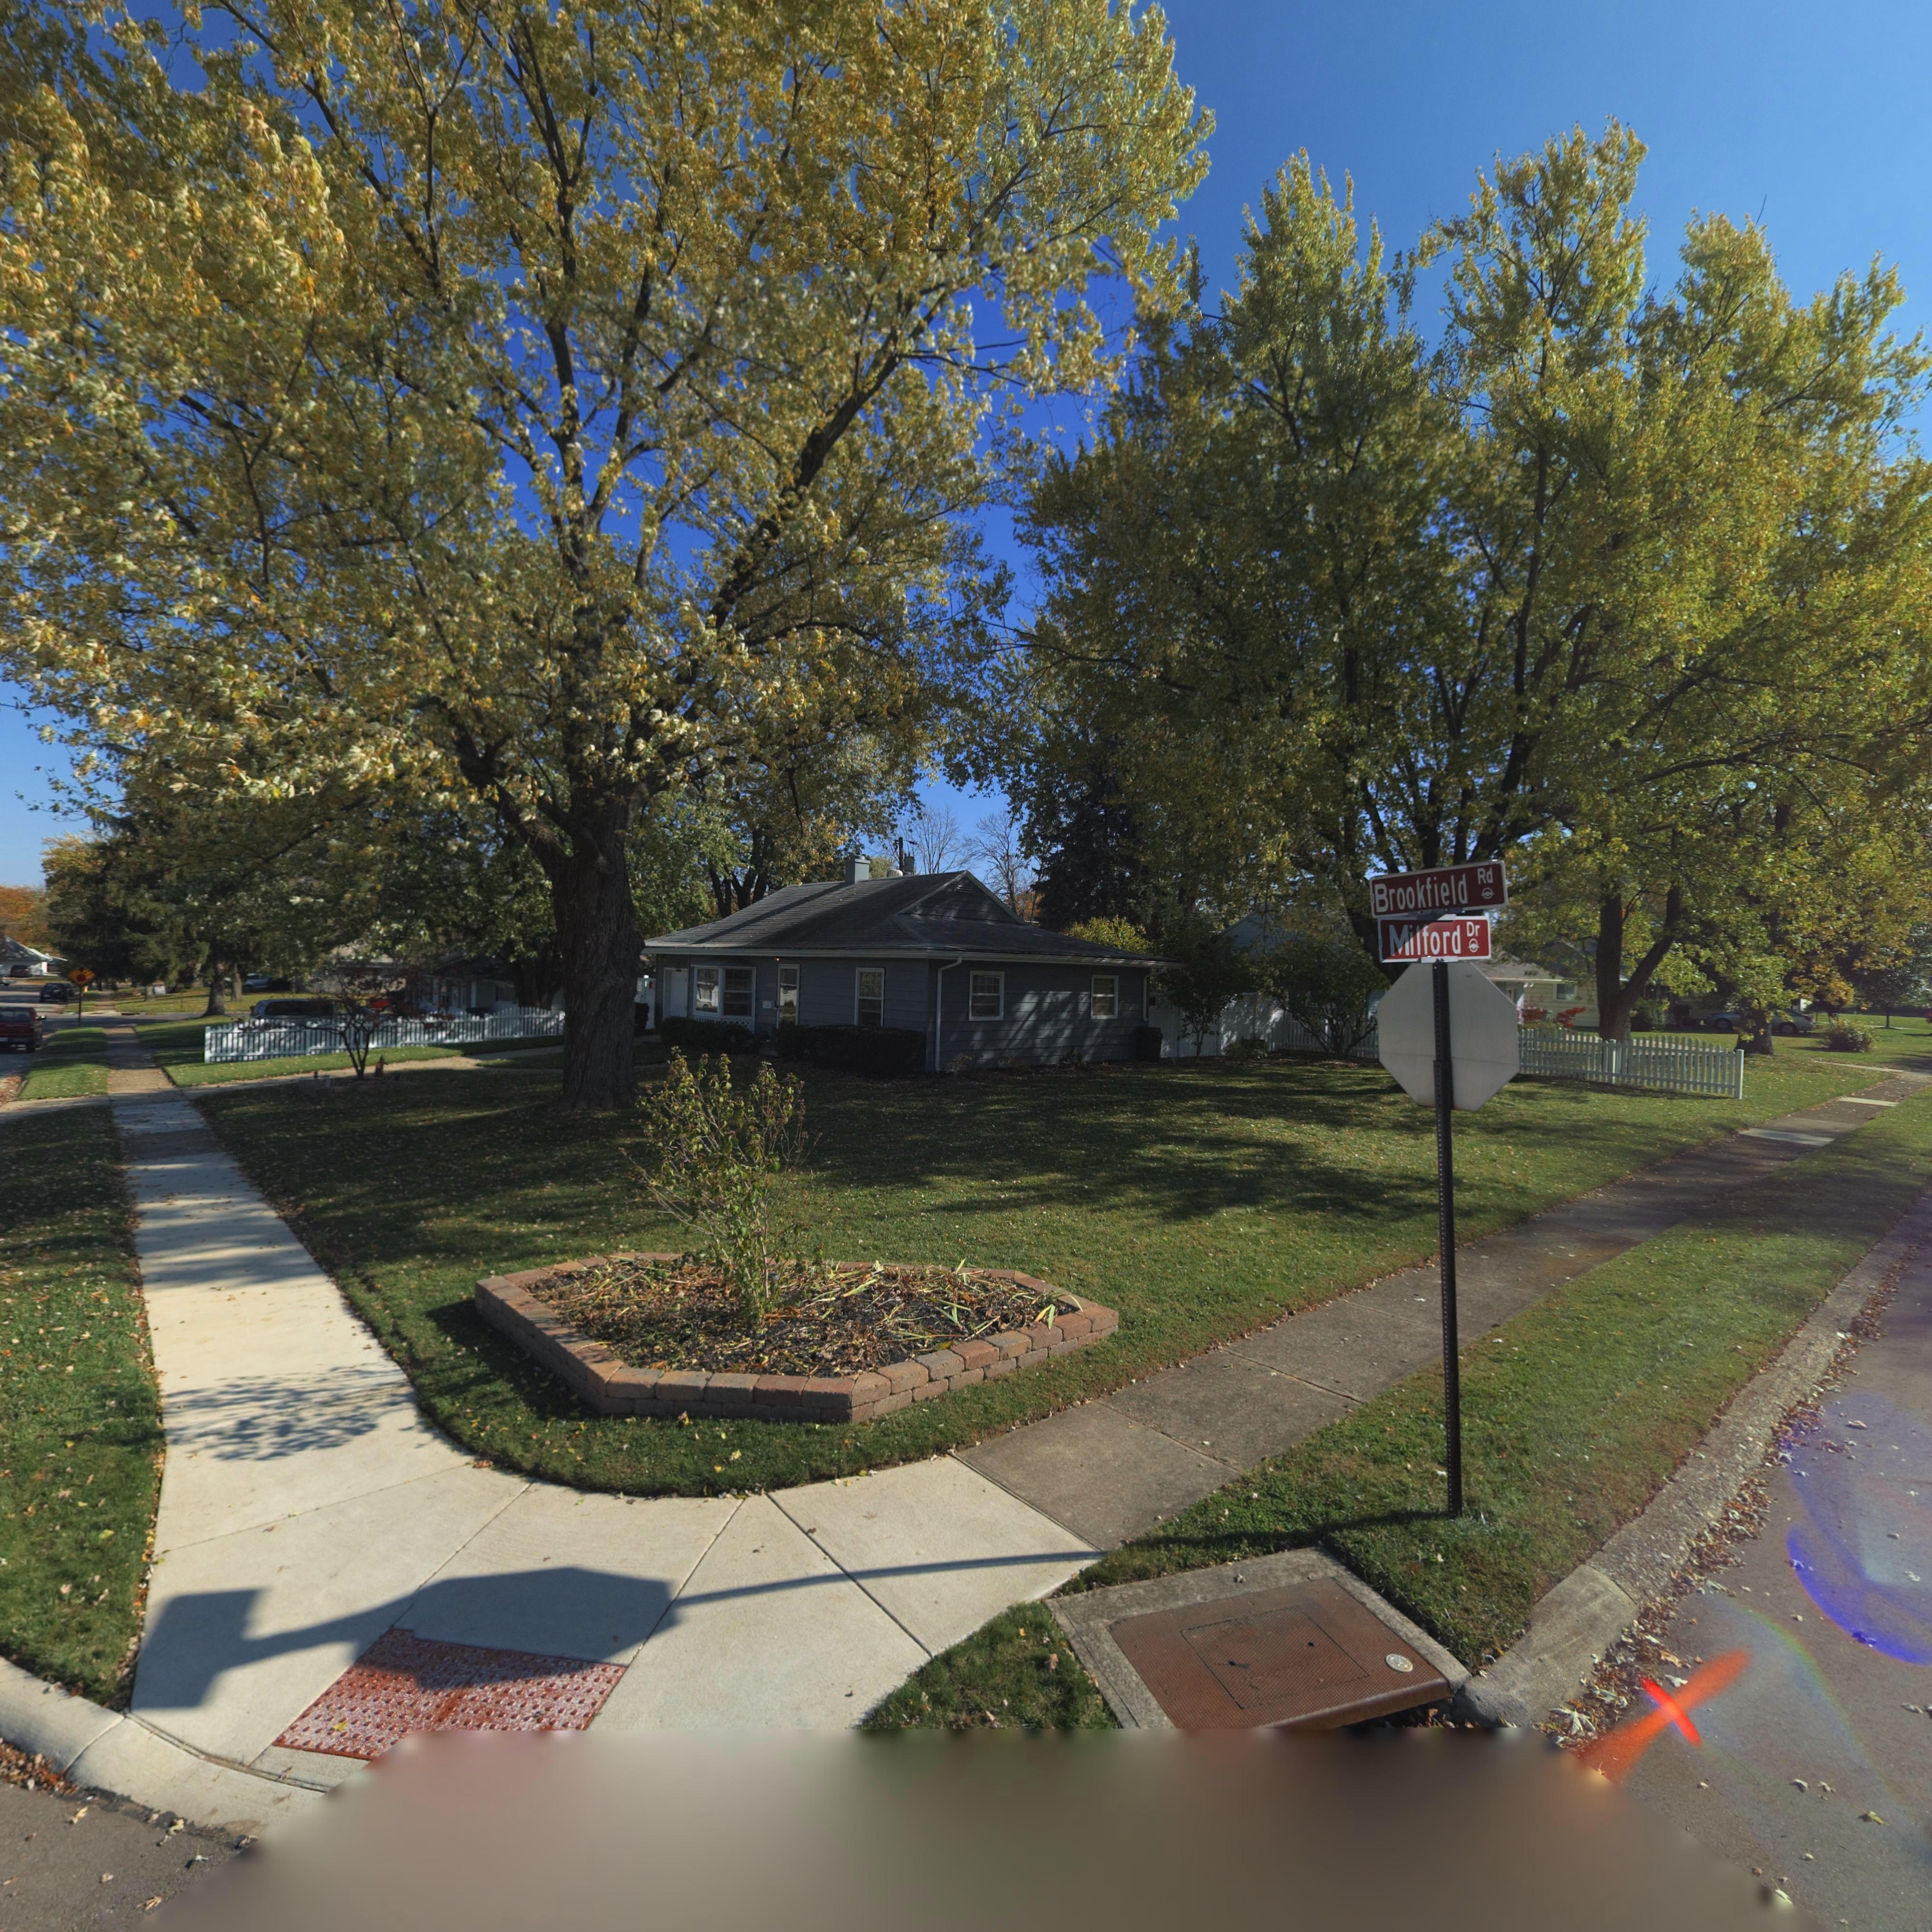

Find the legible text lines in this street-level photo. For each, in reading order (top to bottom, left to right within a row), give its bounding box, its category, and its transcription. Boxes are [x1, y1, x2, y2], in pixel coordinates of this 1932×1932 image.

[1372, 866, 1495, 914] StreetName: Brookfield Rd
[1388, 921, 1481, 956] StreetName: Milford Dr